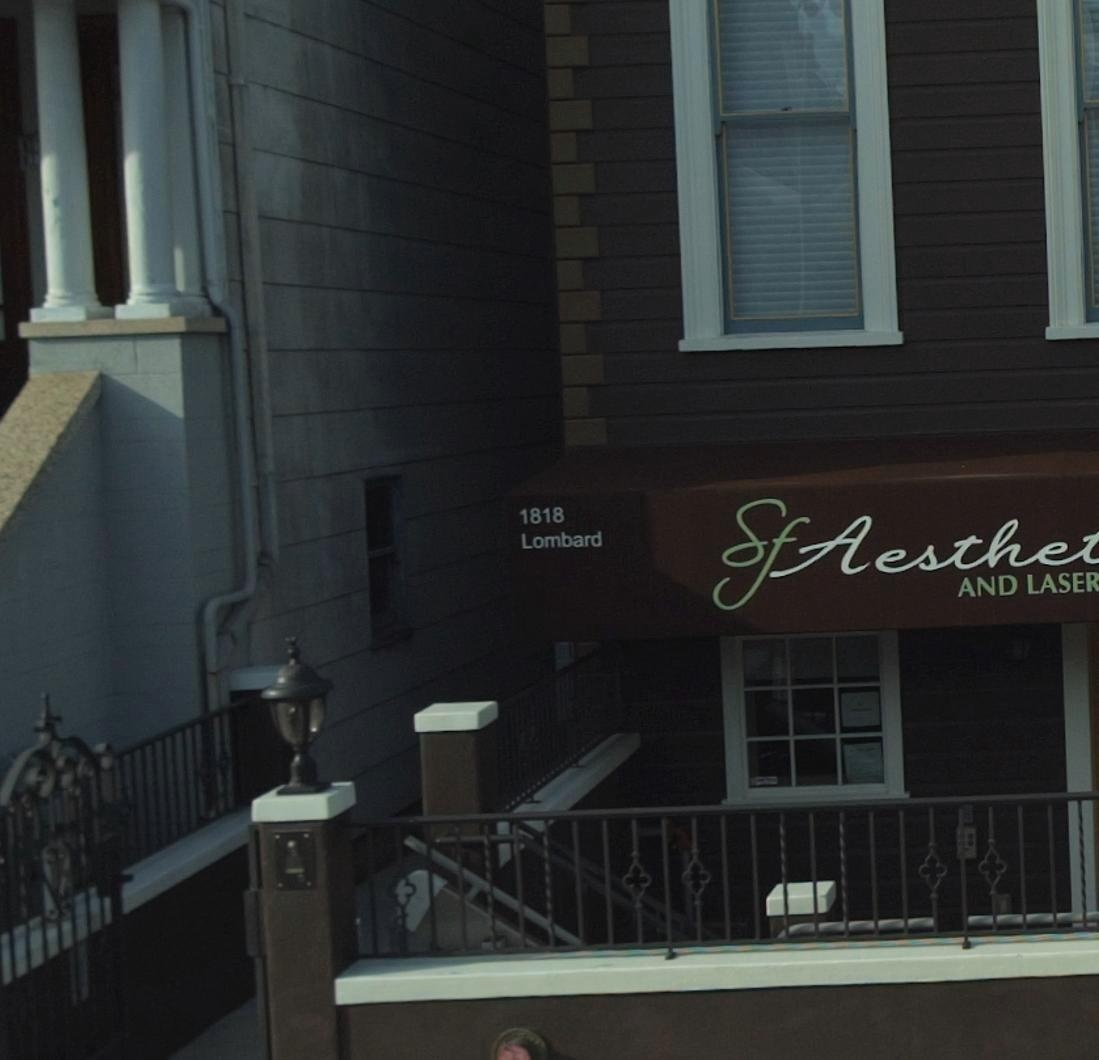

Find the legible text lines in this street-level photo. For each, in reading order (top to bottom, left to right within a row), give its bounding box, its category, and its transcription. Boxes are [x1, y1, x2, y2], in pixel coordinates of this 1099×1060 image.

[516, 503, 568, 529] StreetNumber: 1818
[518, 525, 606, 554] StreetName: Lombard
[703, 488, 1087, 616] BusinessName: Sf Aesthe
[950, 567, 1089, 603] None: AND LASE